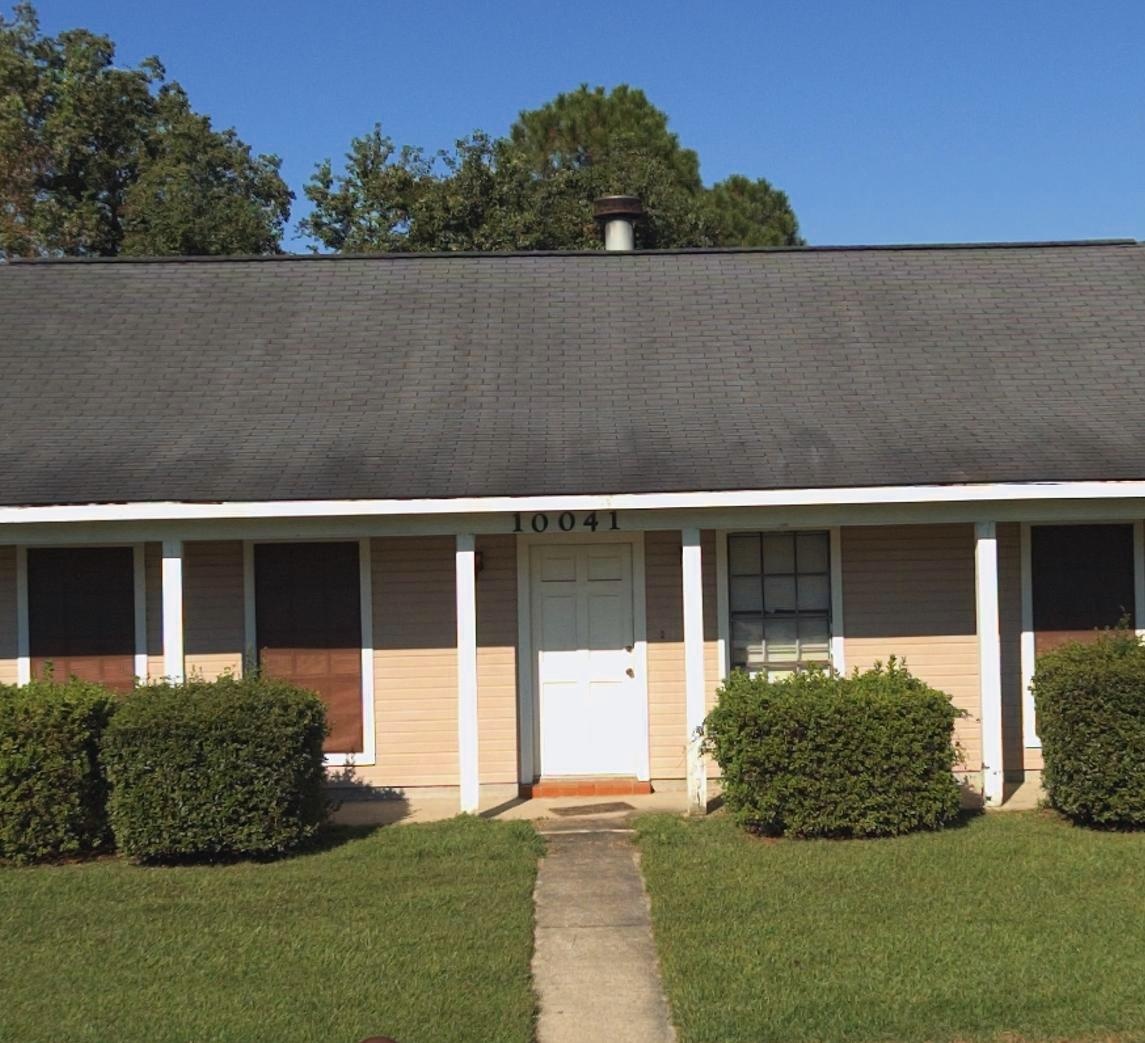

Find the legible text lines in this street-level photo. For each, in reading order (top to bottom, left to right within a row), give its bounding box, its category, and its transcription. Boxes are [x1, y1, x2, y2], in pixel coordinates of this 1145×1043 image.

[512, 509, 621, 533] StreetNumber: 10041